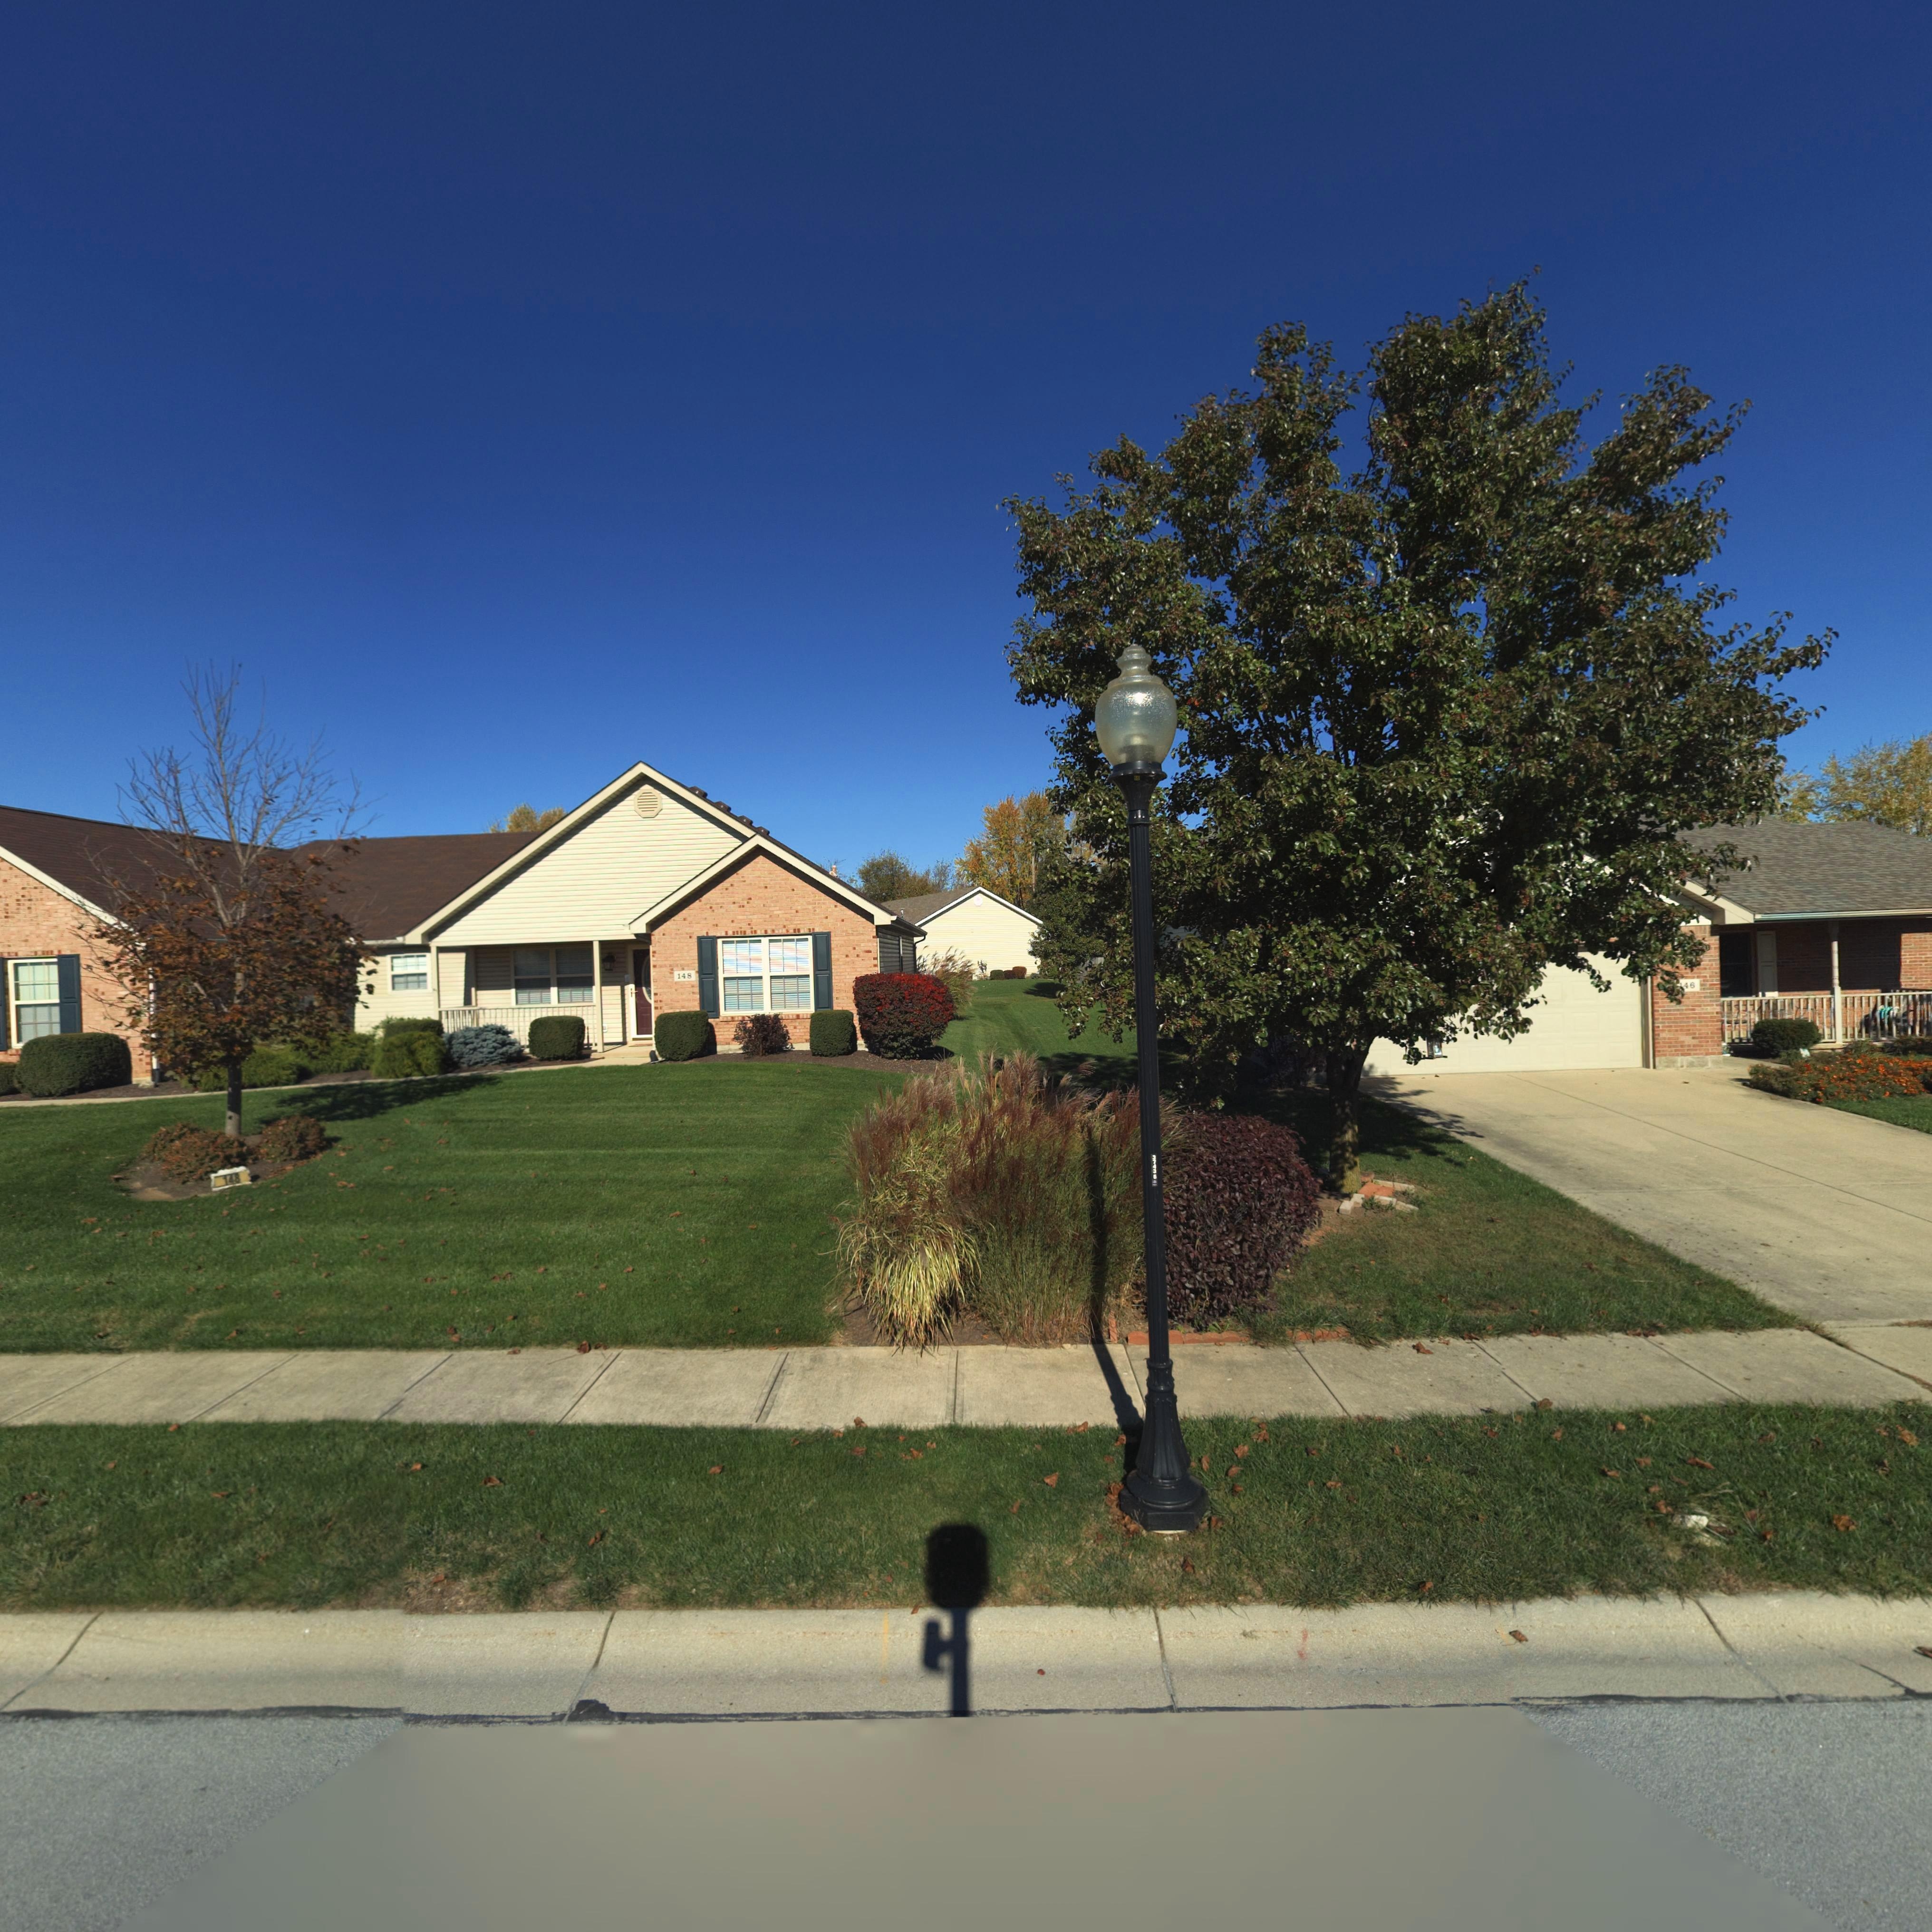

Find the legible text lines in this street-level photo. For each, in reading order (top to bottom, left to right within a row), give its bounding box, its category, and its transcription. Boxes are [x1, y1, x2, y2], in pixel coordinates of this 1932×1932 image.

[677, 972, 692, 979] StreetNumber: 148
[1683, 982, 1695, 989] StreetNumber: 46
[221, 1172, 241, 1186] StreetNumber: 148